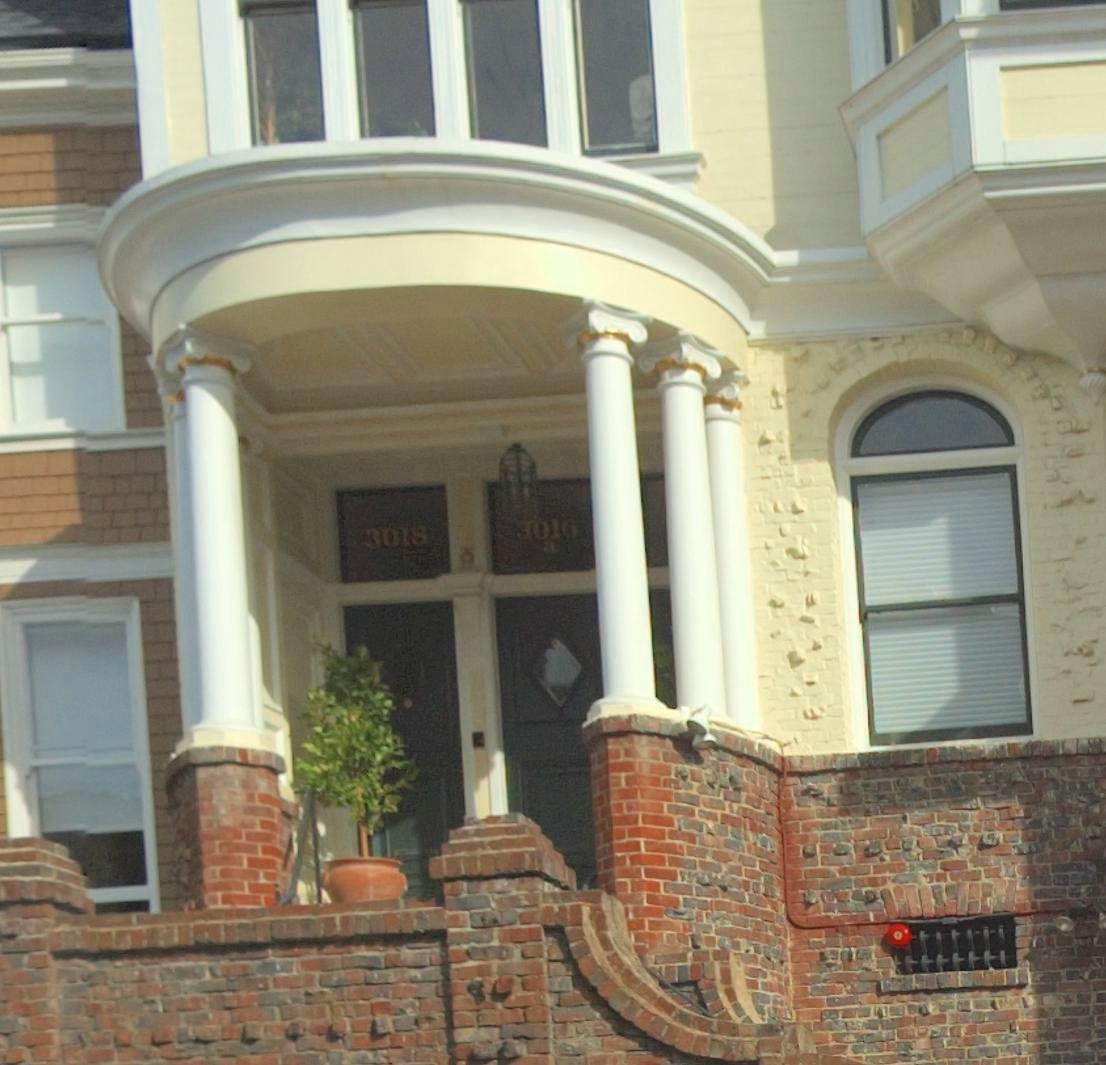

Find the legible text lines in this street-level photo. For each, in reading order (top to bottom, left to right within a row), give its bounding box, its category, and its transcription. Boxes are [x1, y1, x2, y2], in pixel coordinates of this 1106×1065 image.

[362, 522, 429, 553] StreetNumber: 3018
[514, 516, 580, 543] StreetNumber: *016